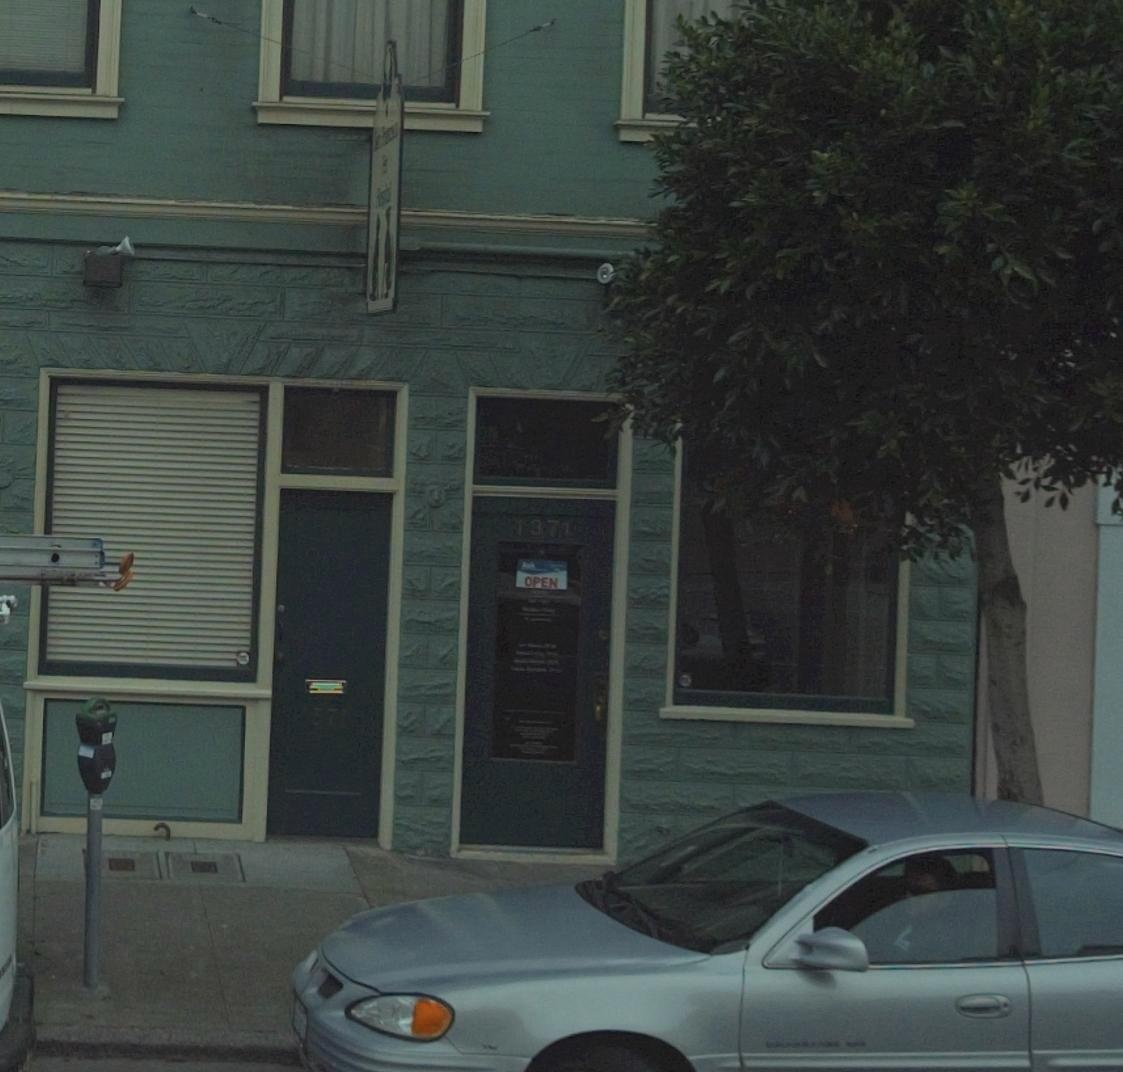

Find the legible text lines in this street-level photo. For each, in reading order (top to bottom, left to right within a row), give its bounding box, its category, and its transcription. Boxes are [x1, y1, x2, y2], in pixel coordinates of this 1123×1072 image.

[515, 518, 571, 539] StreetNumber: 137*
[523, 575, 558, 589] None: OPEN
[299, 706, 348, 729] StreetNumber: *37*